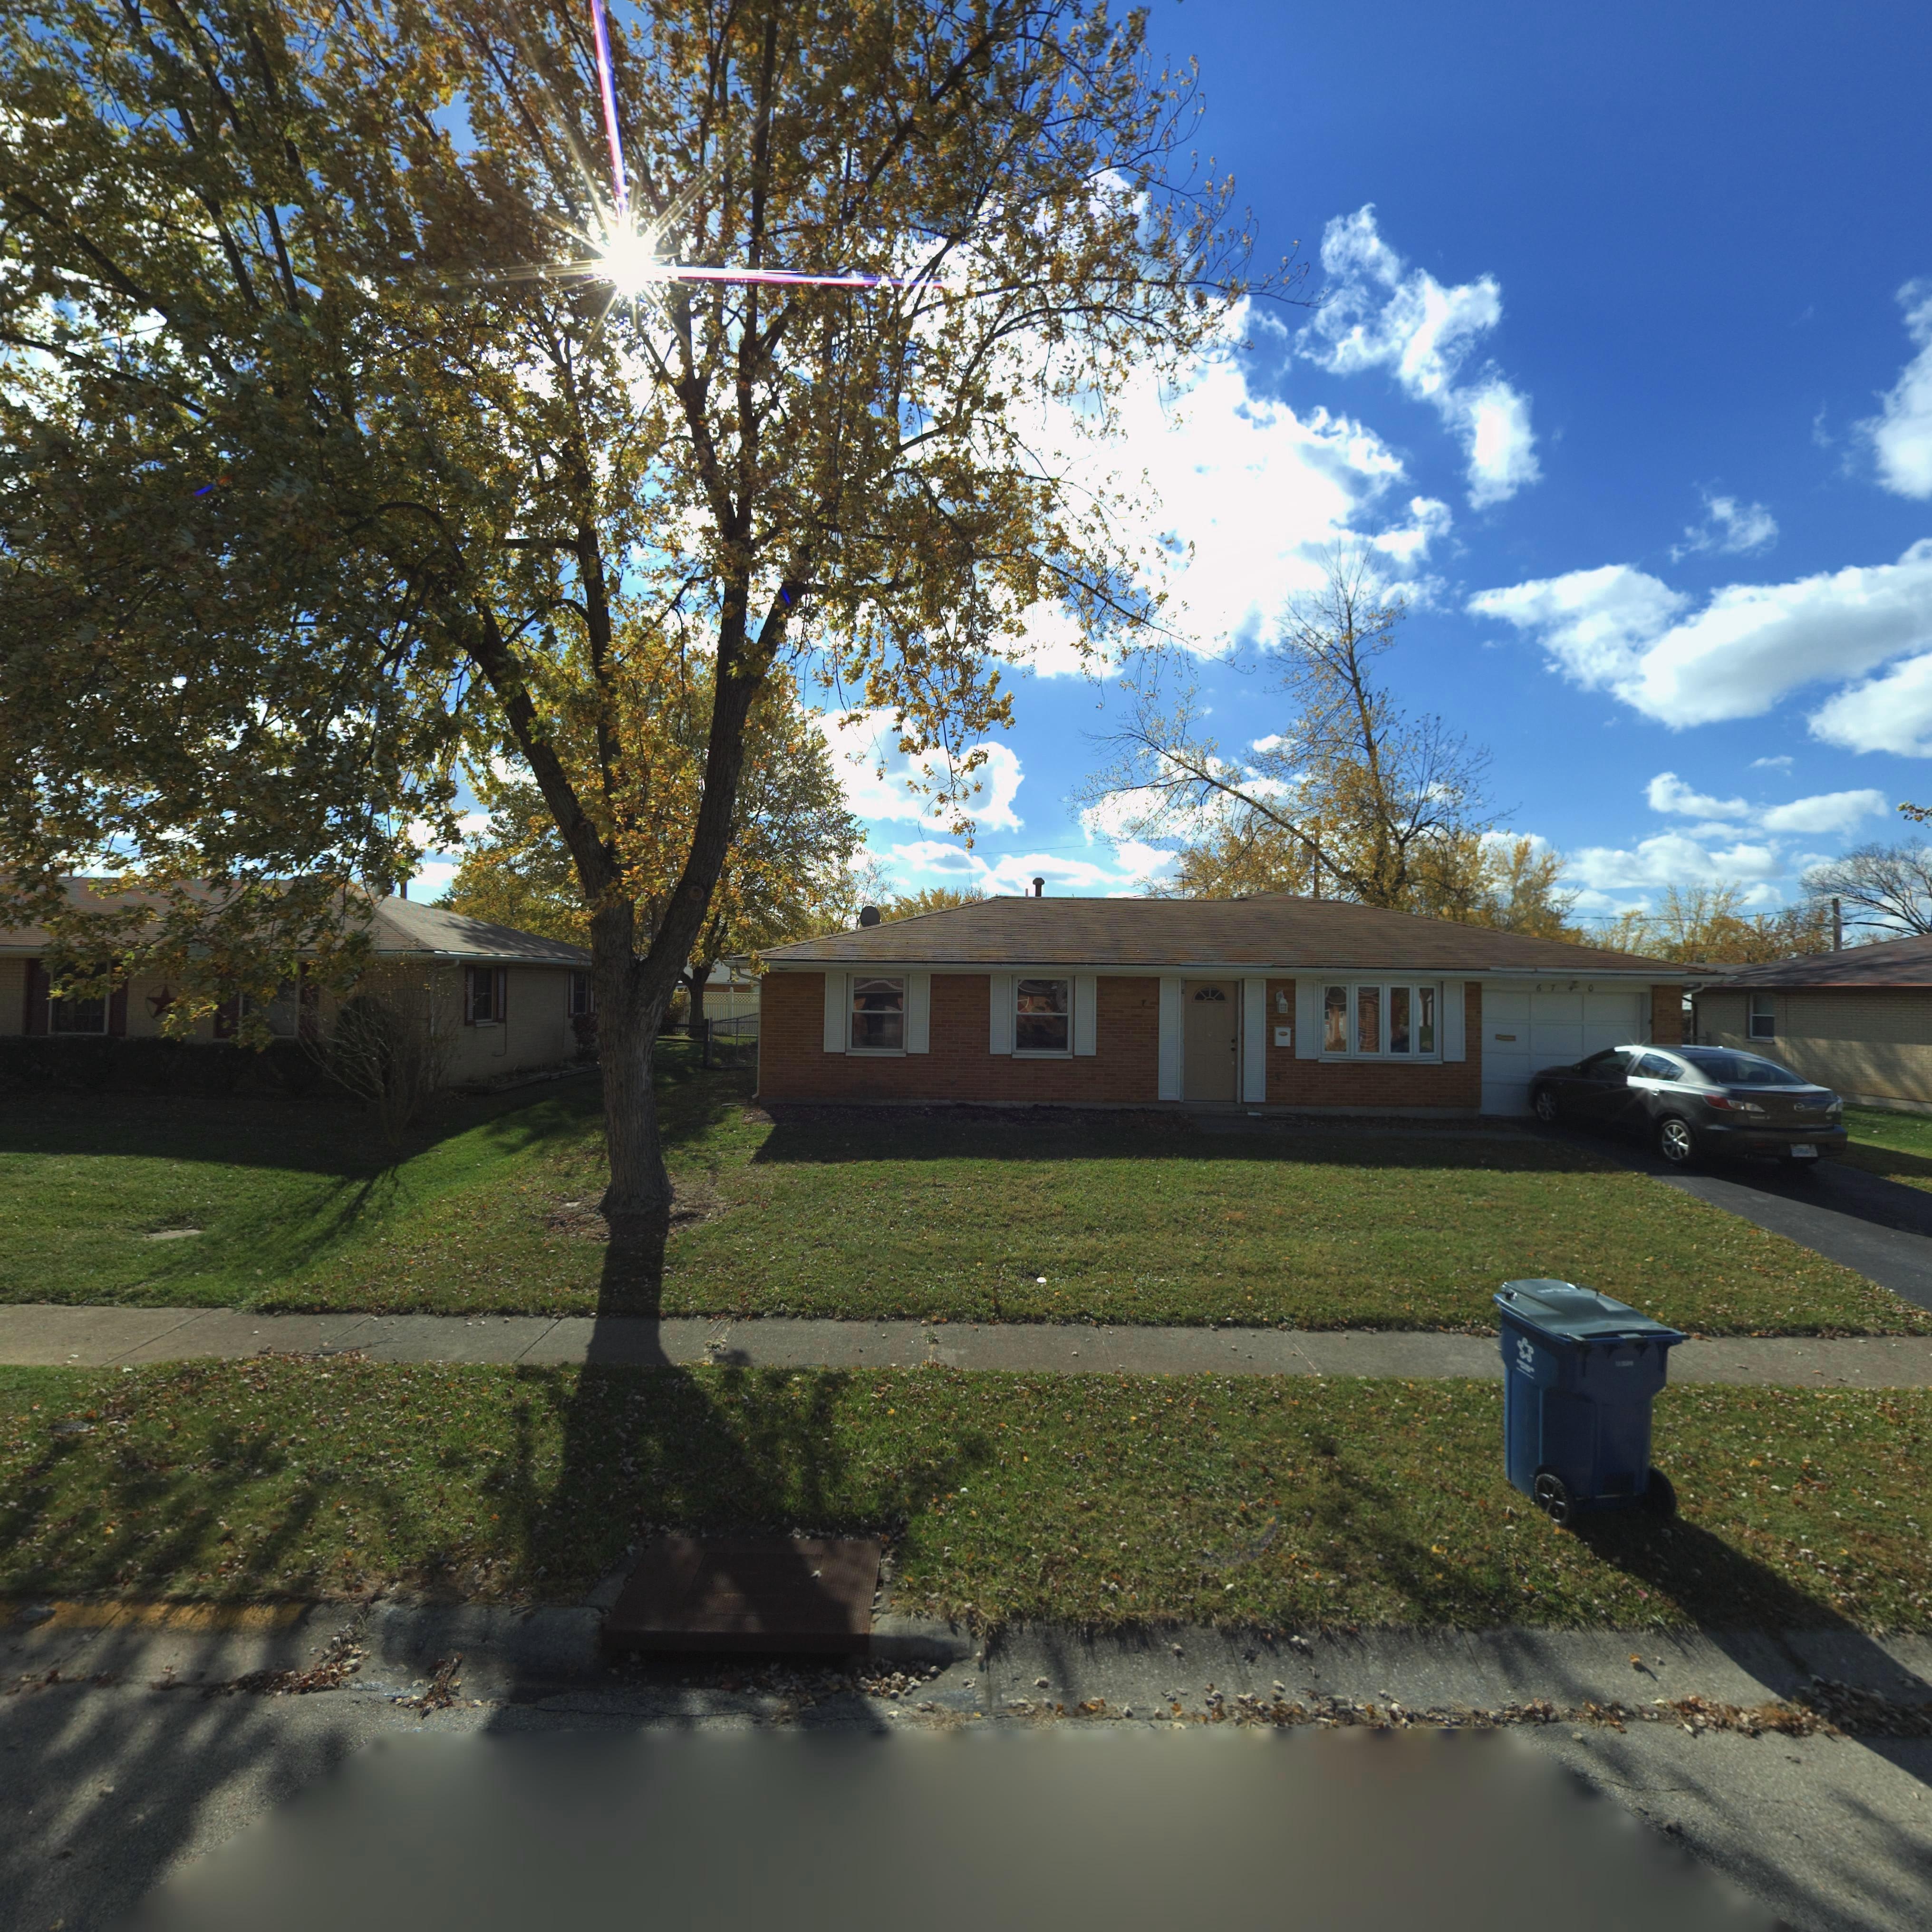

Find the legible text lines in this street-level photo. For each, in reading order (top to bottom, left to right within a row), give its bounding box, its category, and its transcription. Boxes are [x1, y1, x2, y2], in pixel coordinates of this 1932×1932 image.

[1535, 983, 1594, 992] StreetNumber: 67*0